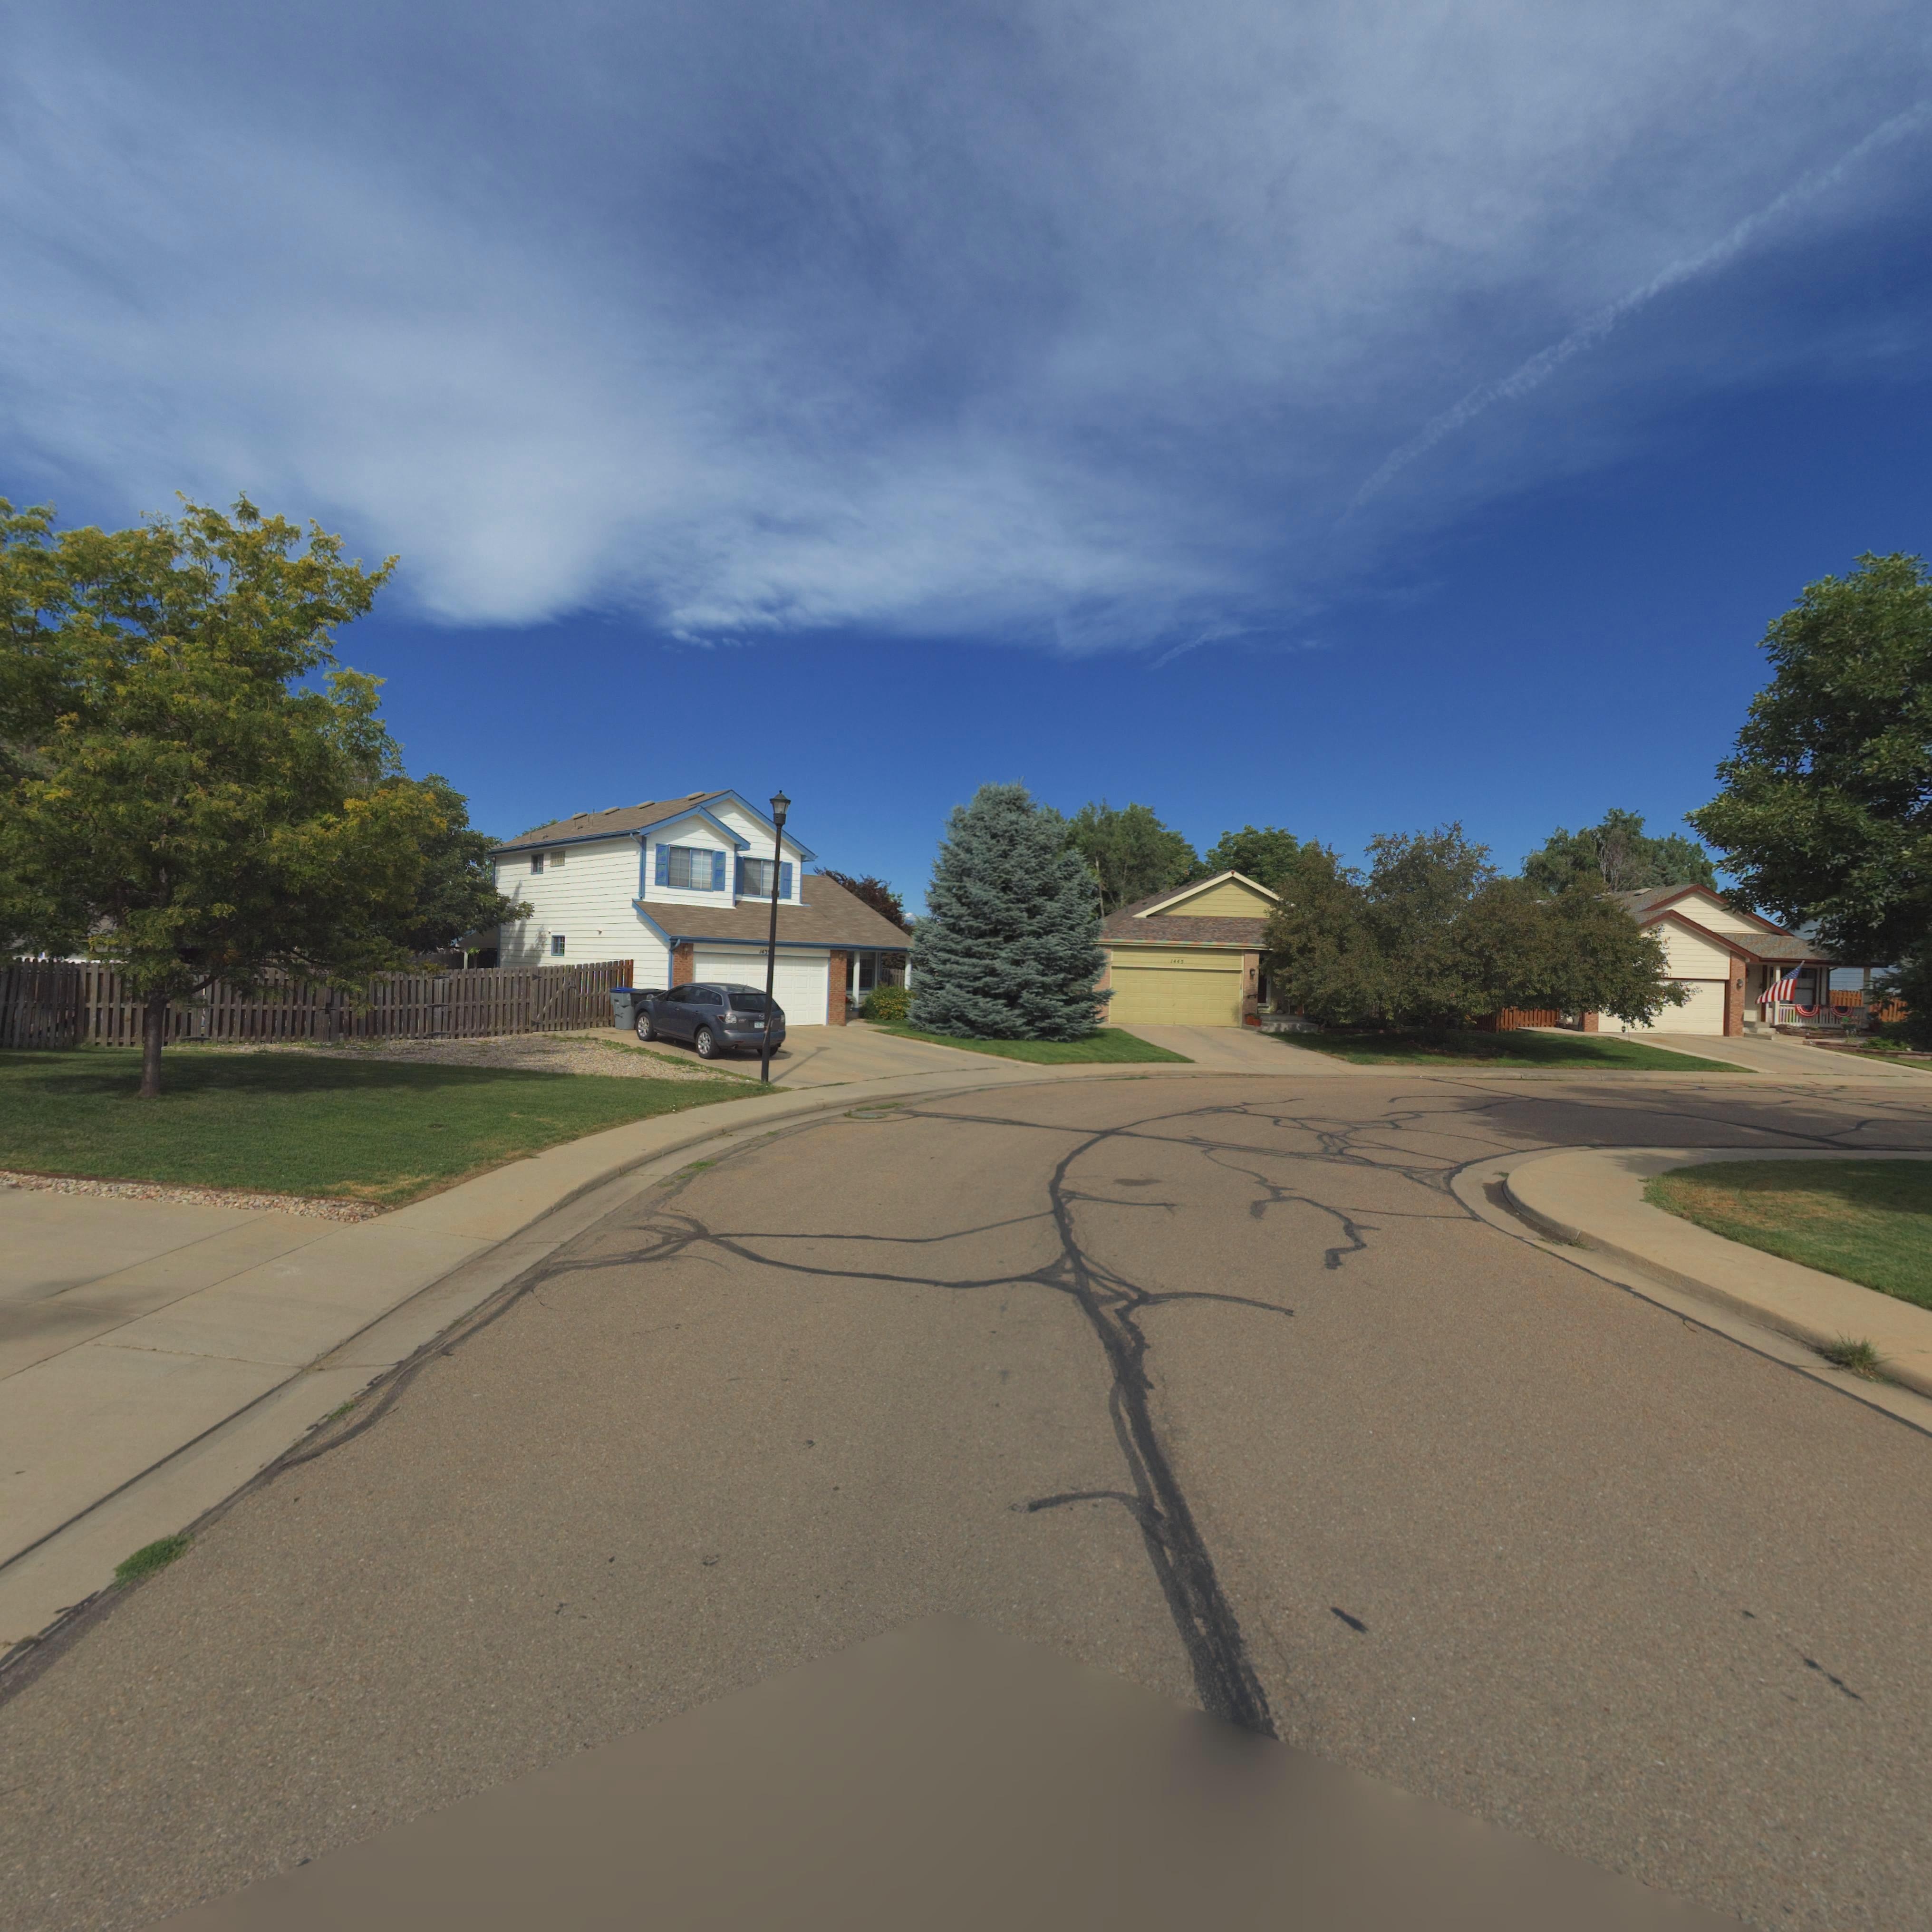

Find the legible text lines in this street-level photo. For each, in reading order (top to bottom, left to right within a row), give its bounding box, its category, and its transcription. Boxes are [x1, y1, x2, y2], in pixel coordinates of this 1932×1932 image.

[759, 948, 767, 955] StreetNumber: 143
[1170, 958, 1184, 964] StreetNumber: 1445
[1660, 971, 1672, 978] StreetNumber: *31